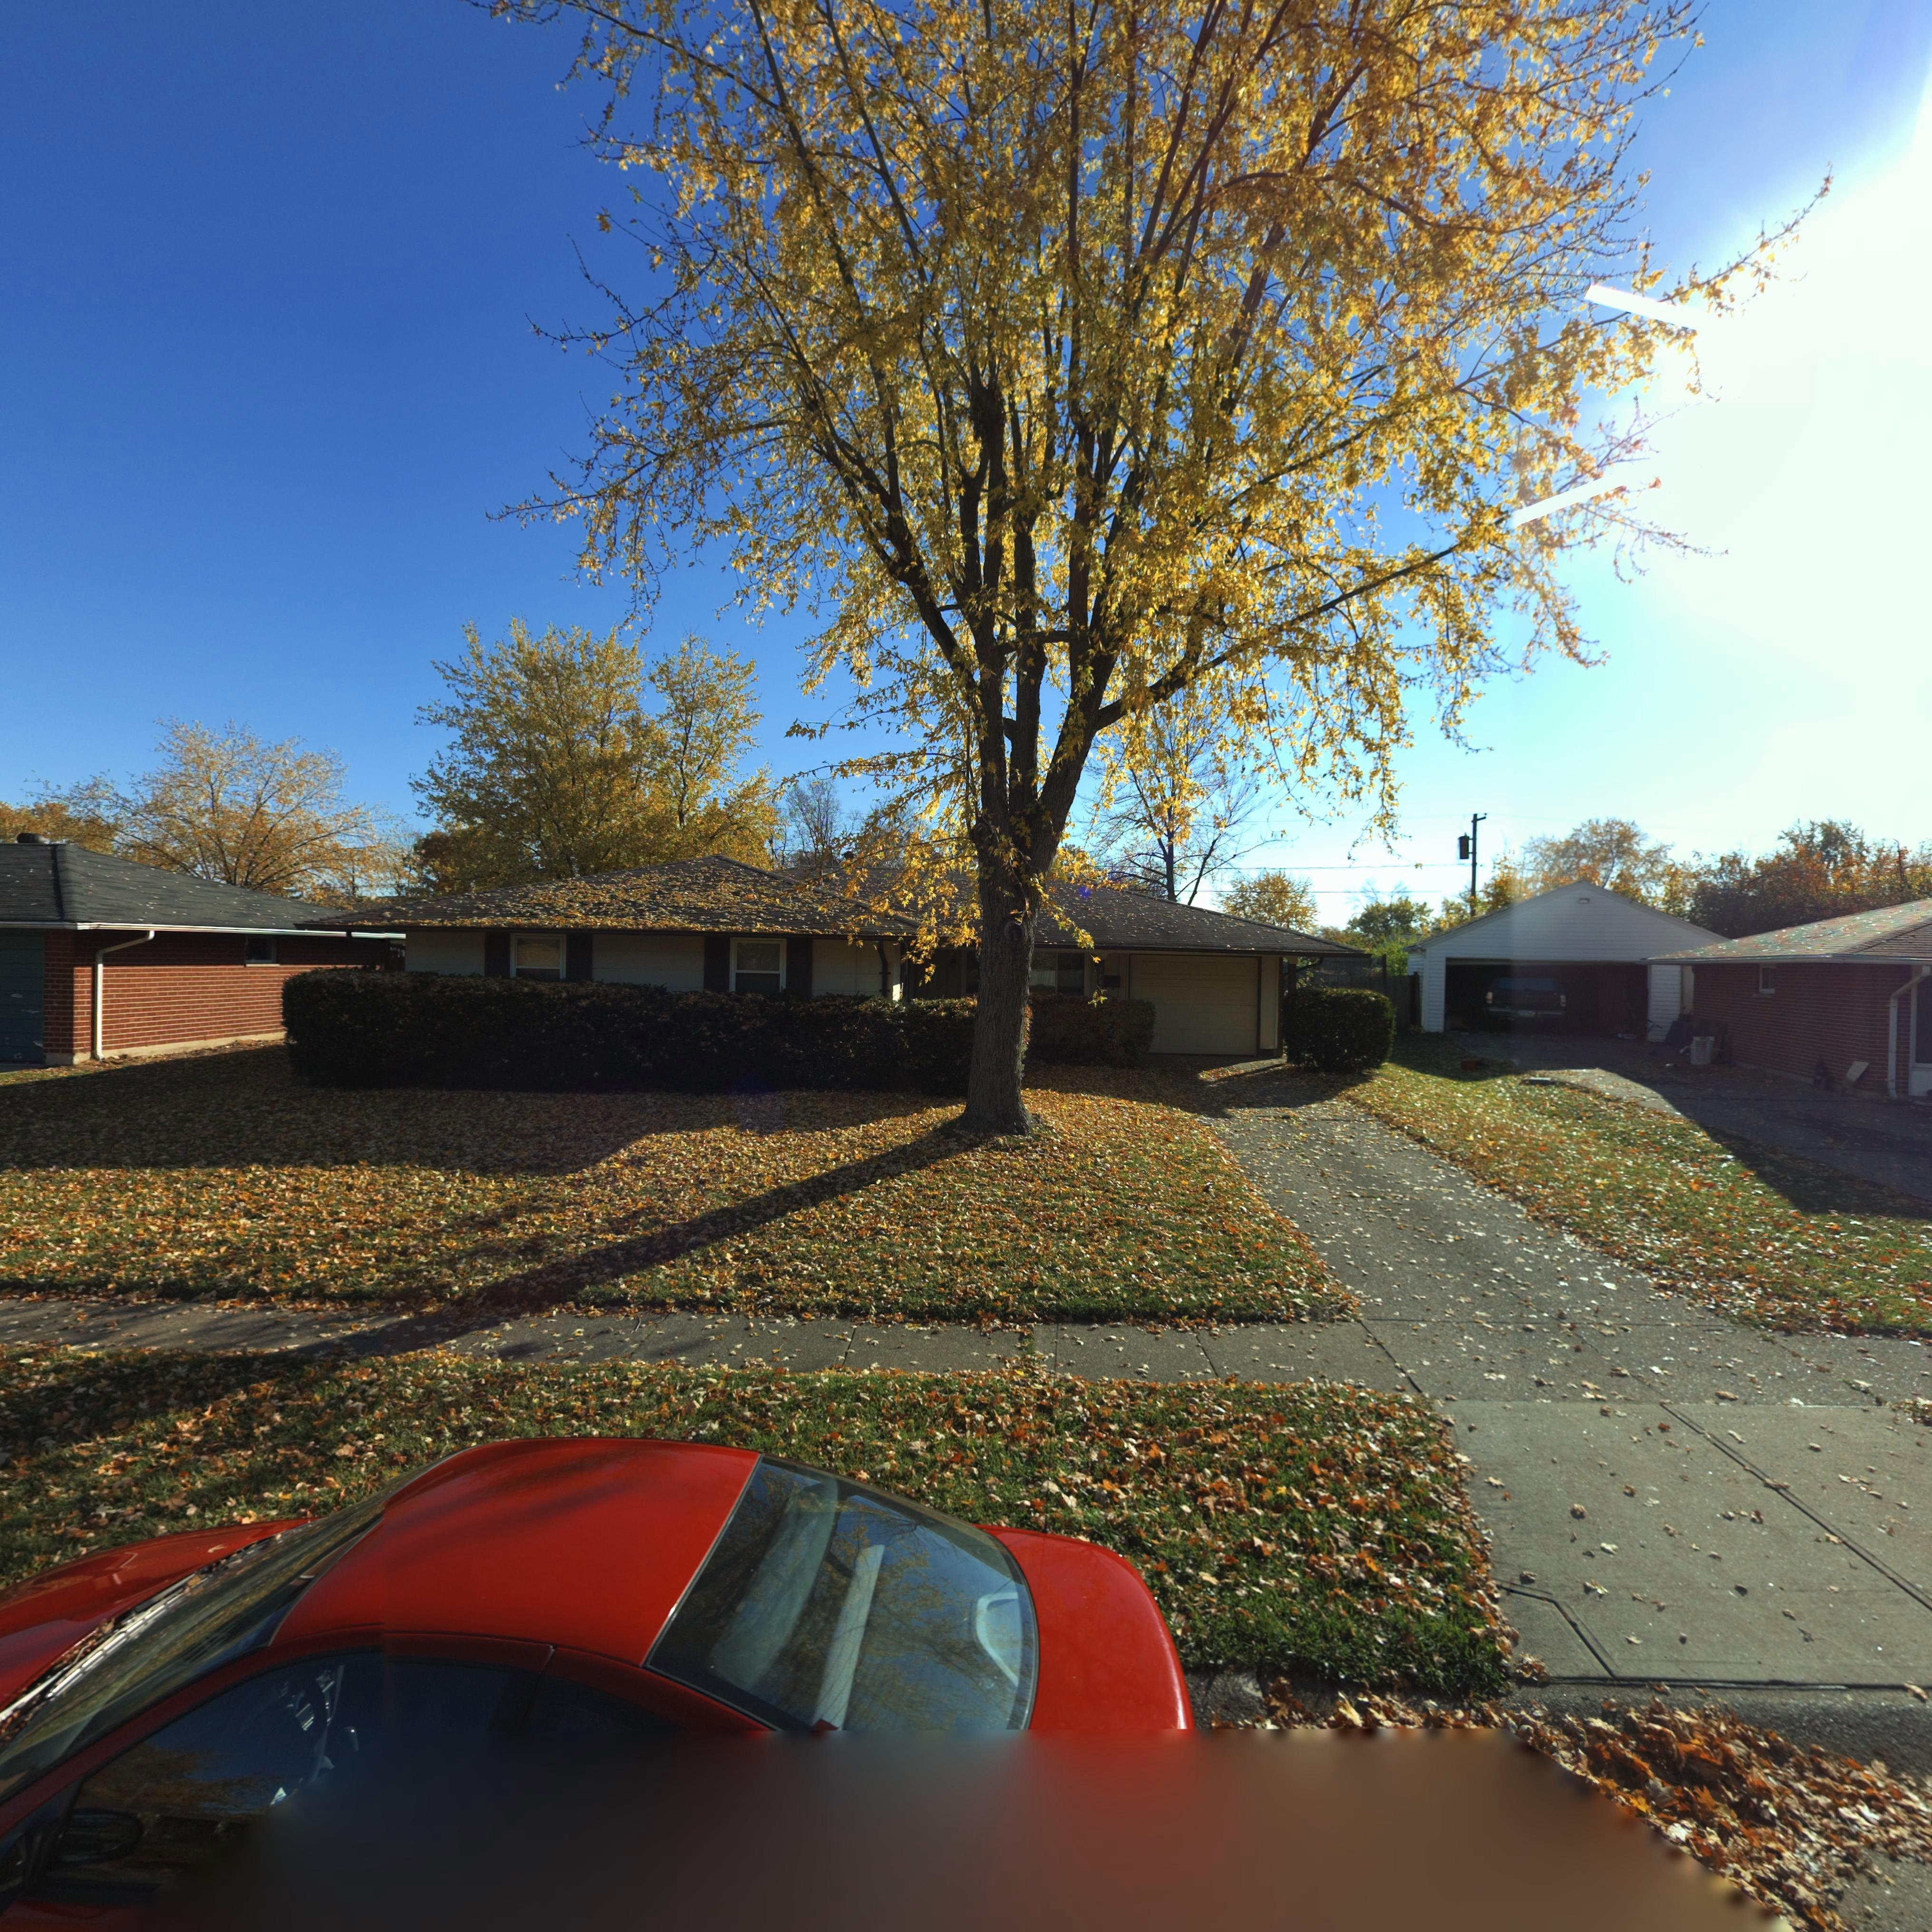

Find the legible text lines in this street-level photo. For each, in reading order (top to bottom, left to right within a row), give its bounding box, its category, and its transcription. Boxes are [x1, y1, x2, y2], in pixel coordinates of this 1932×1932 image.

[1098, 967, 1103, 990] StreetNumber: 788*